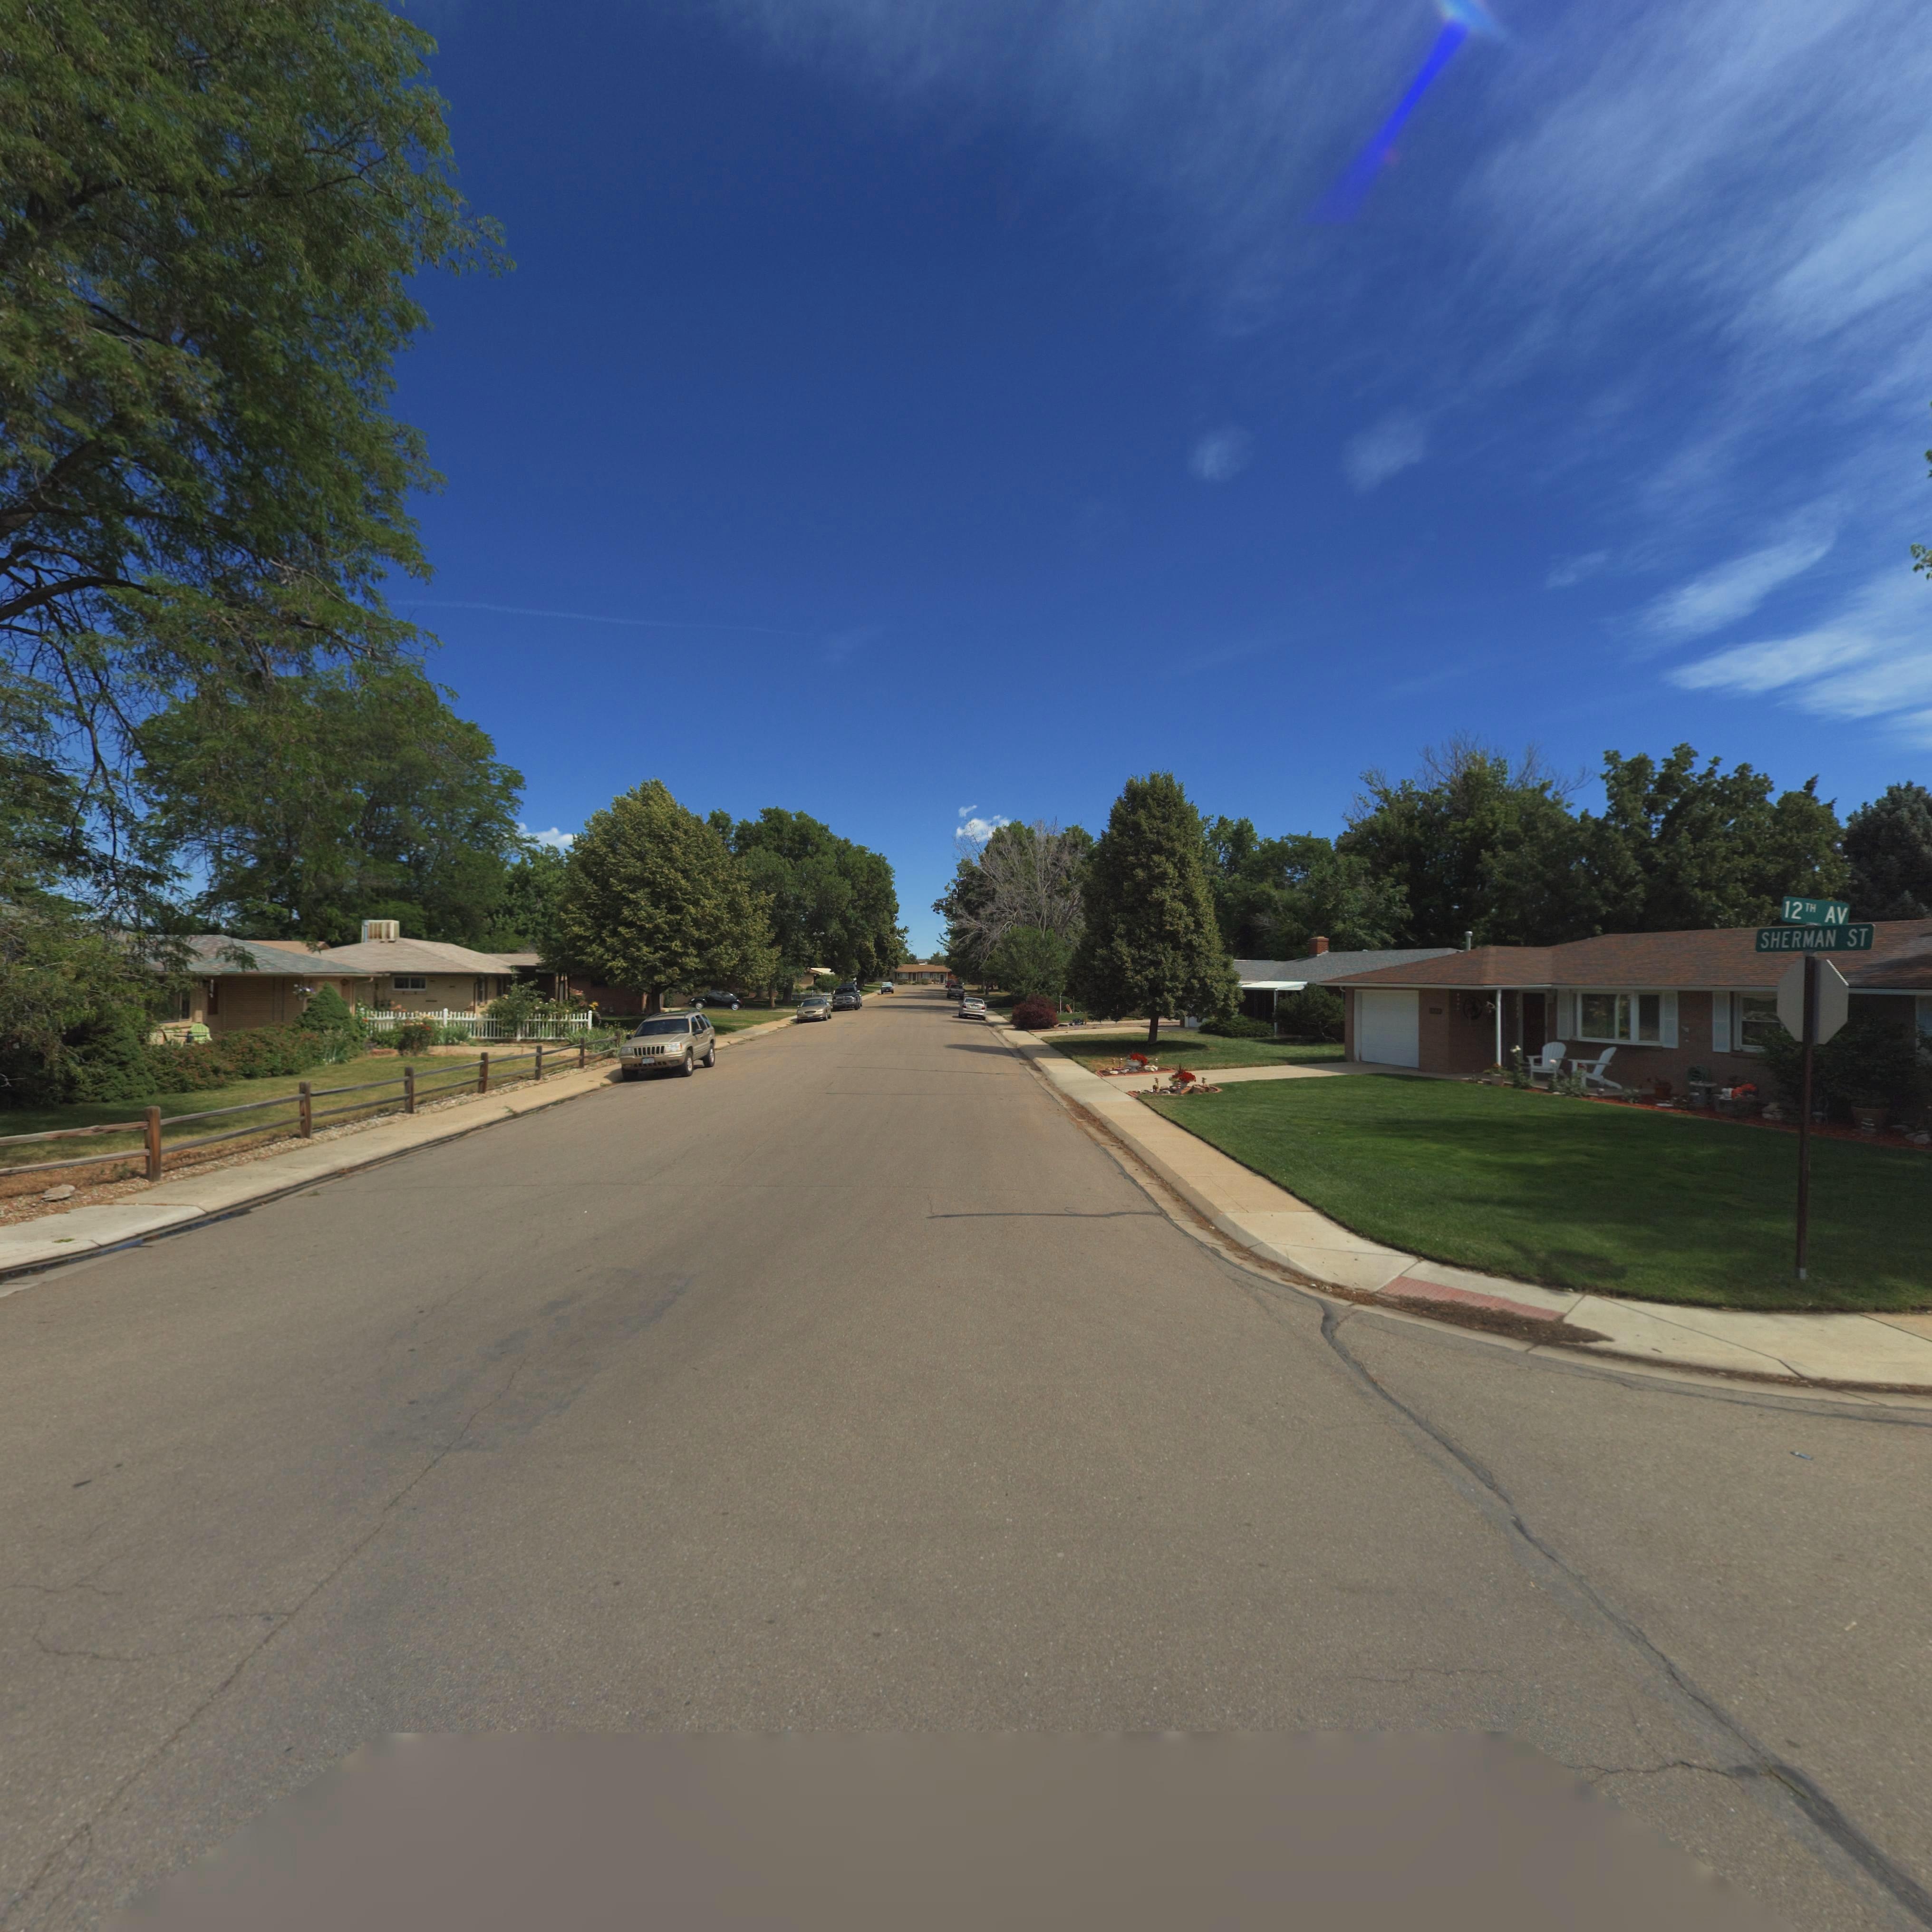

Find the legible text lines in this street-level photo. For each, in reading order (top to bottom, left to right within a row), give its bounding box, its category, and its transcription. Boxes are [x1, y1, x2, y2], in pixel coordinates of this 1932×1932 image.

[1783, 899, 1849, 925] StreetName: 12TH AV
[1760, 927, 1869, 948] StreetName: SHERMAN ST